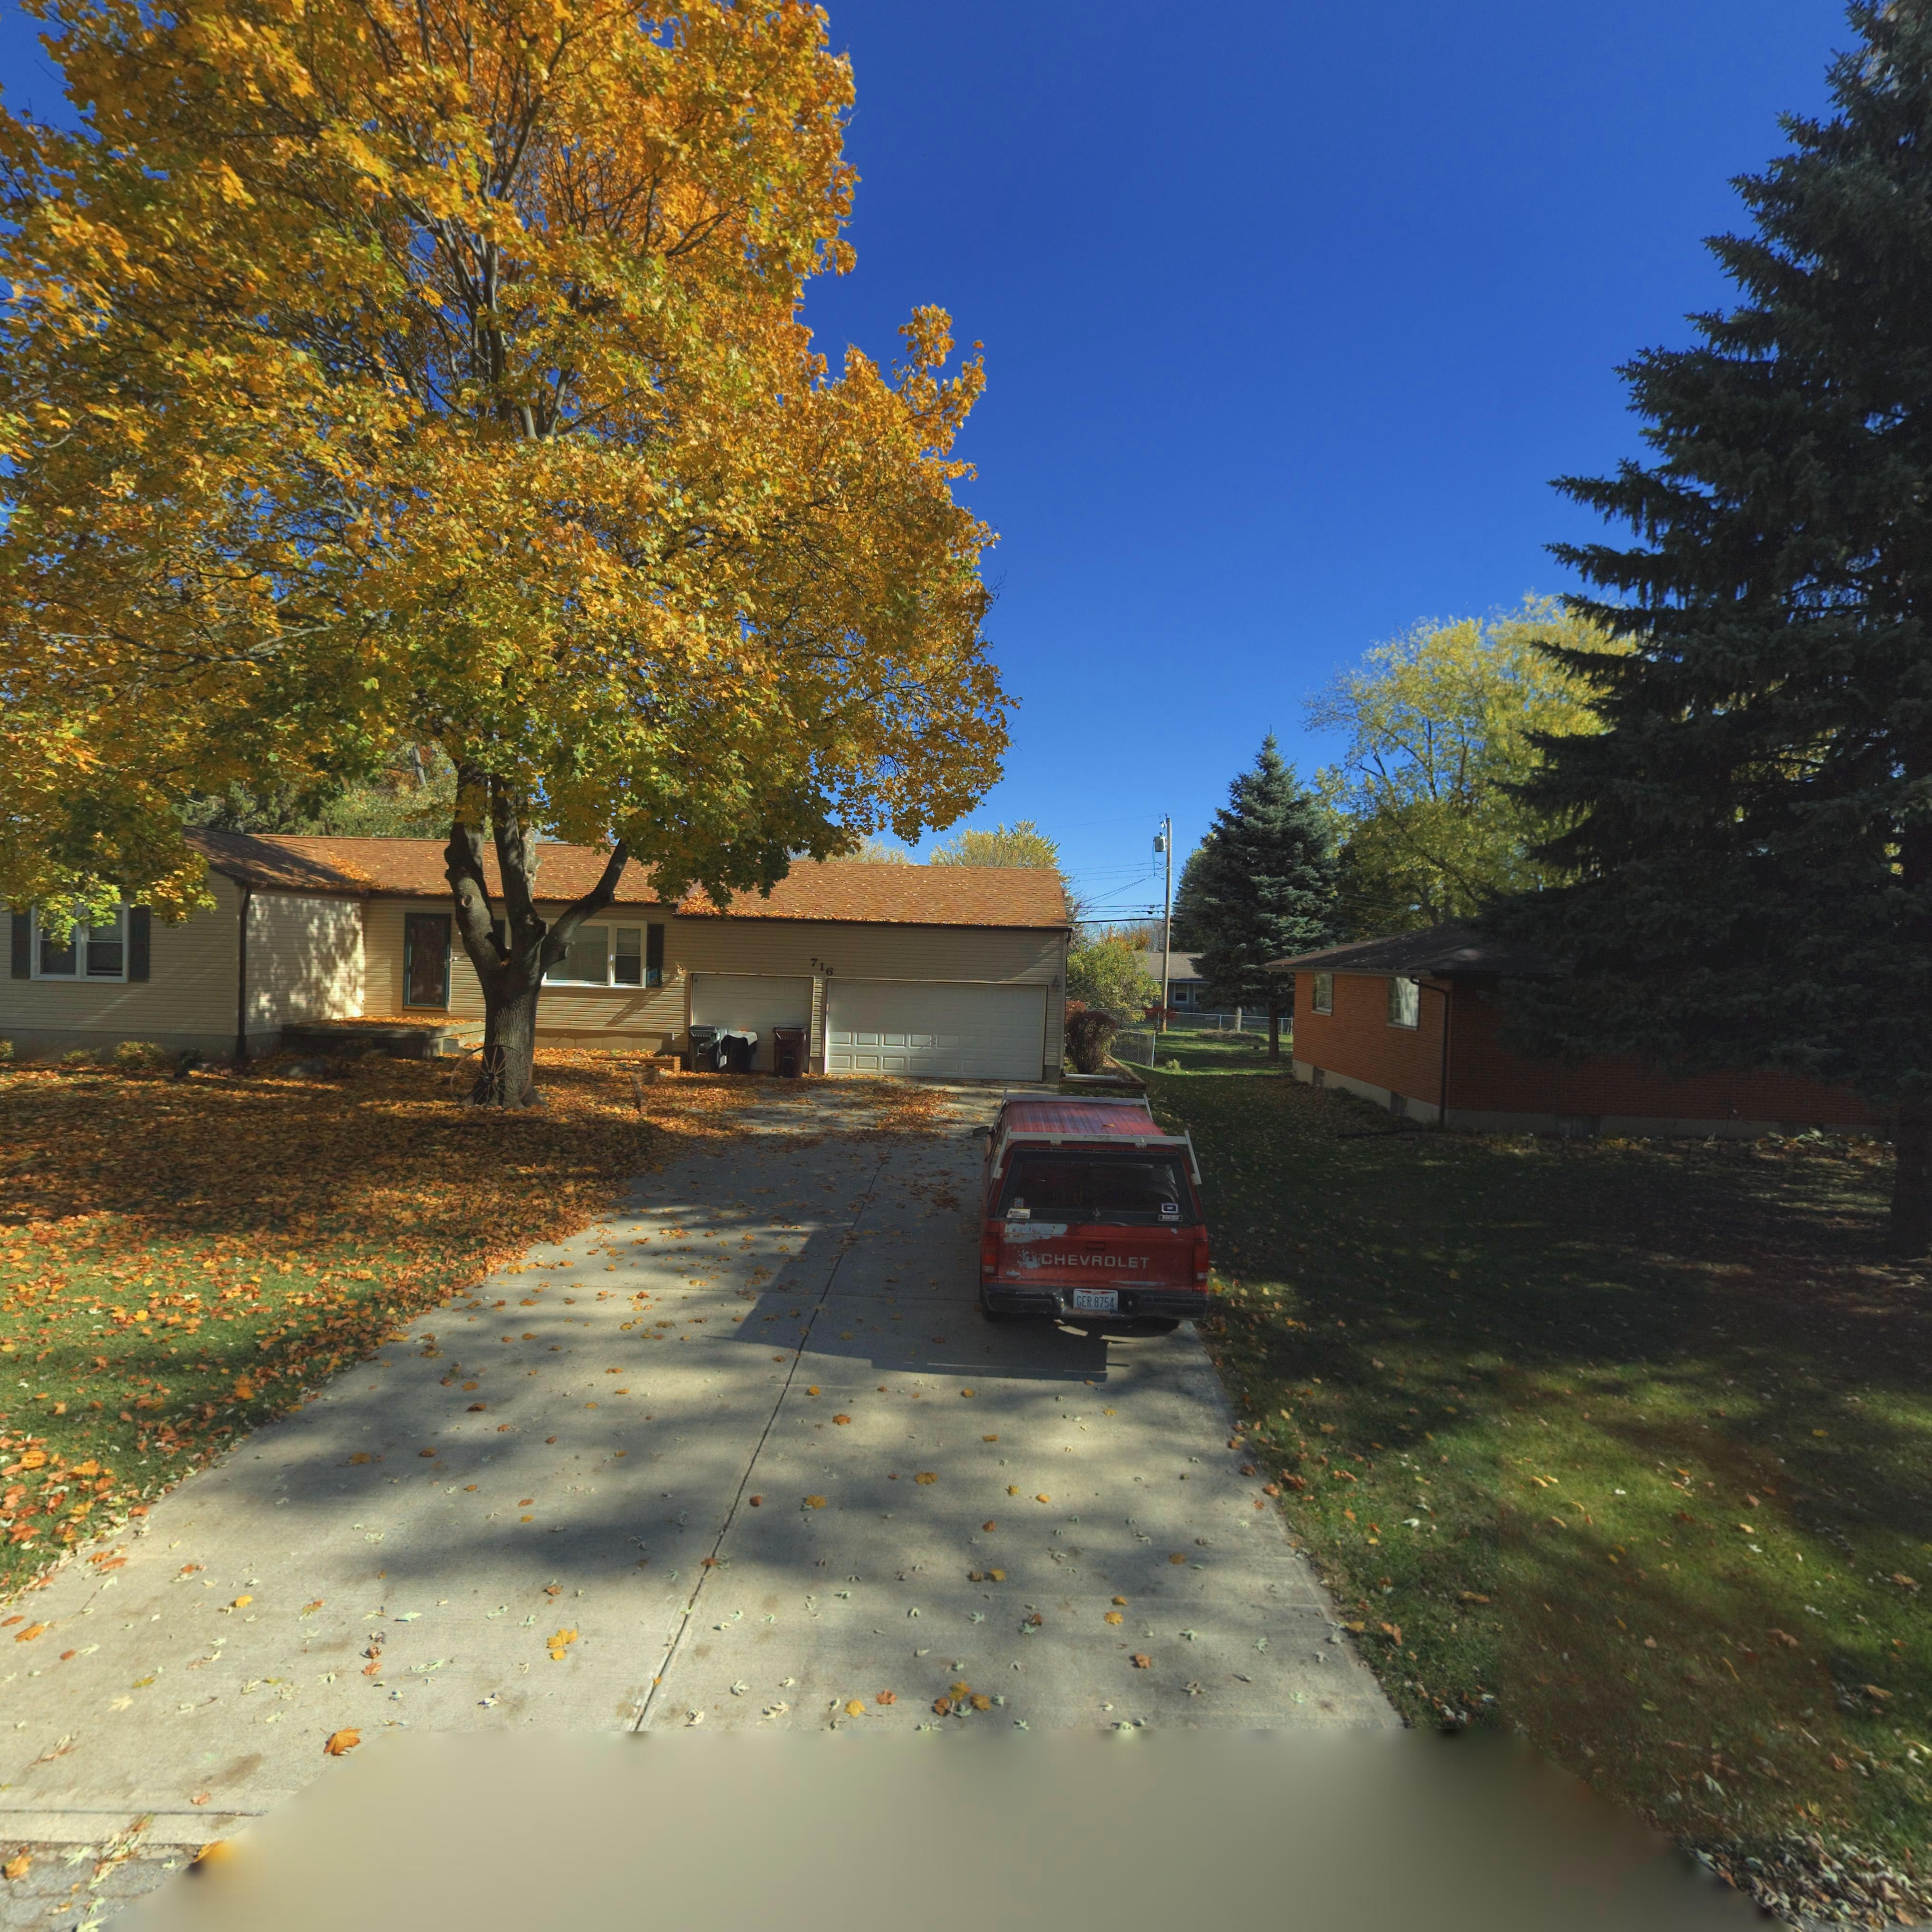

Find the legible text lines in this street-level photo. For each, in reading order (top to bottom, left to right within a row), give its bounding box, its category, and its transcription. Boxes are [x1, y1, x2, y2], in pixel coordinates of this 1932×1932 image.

[810, 958, 834, 976] StreetNumber: 716